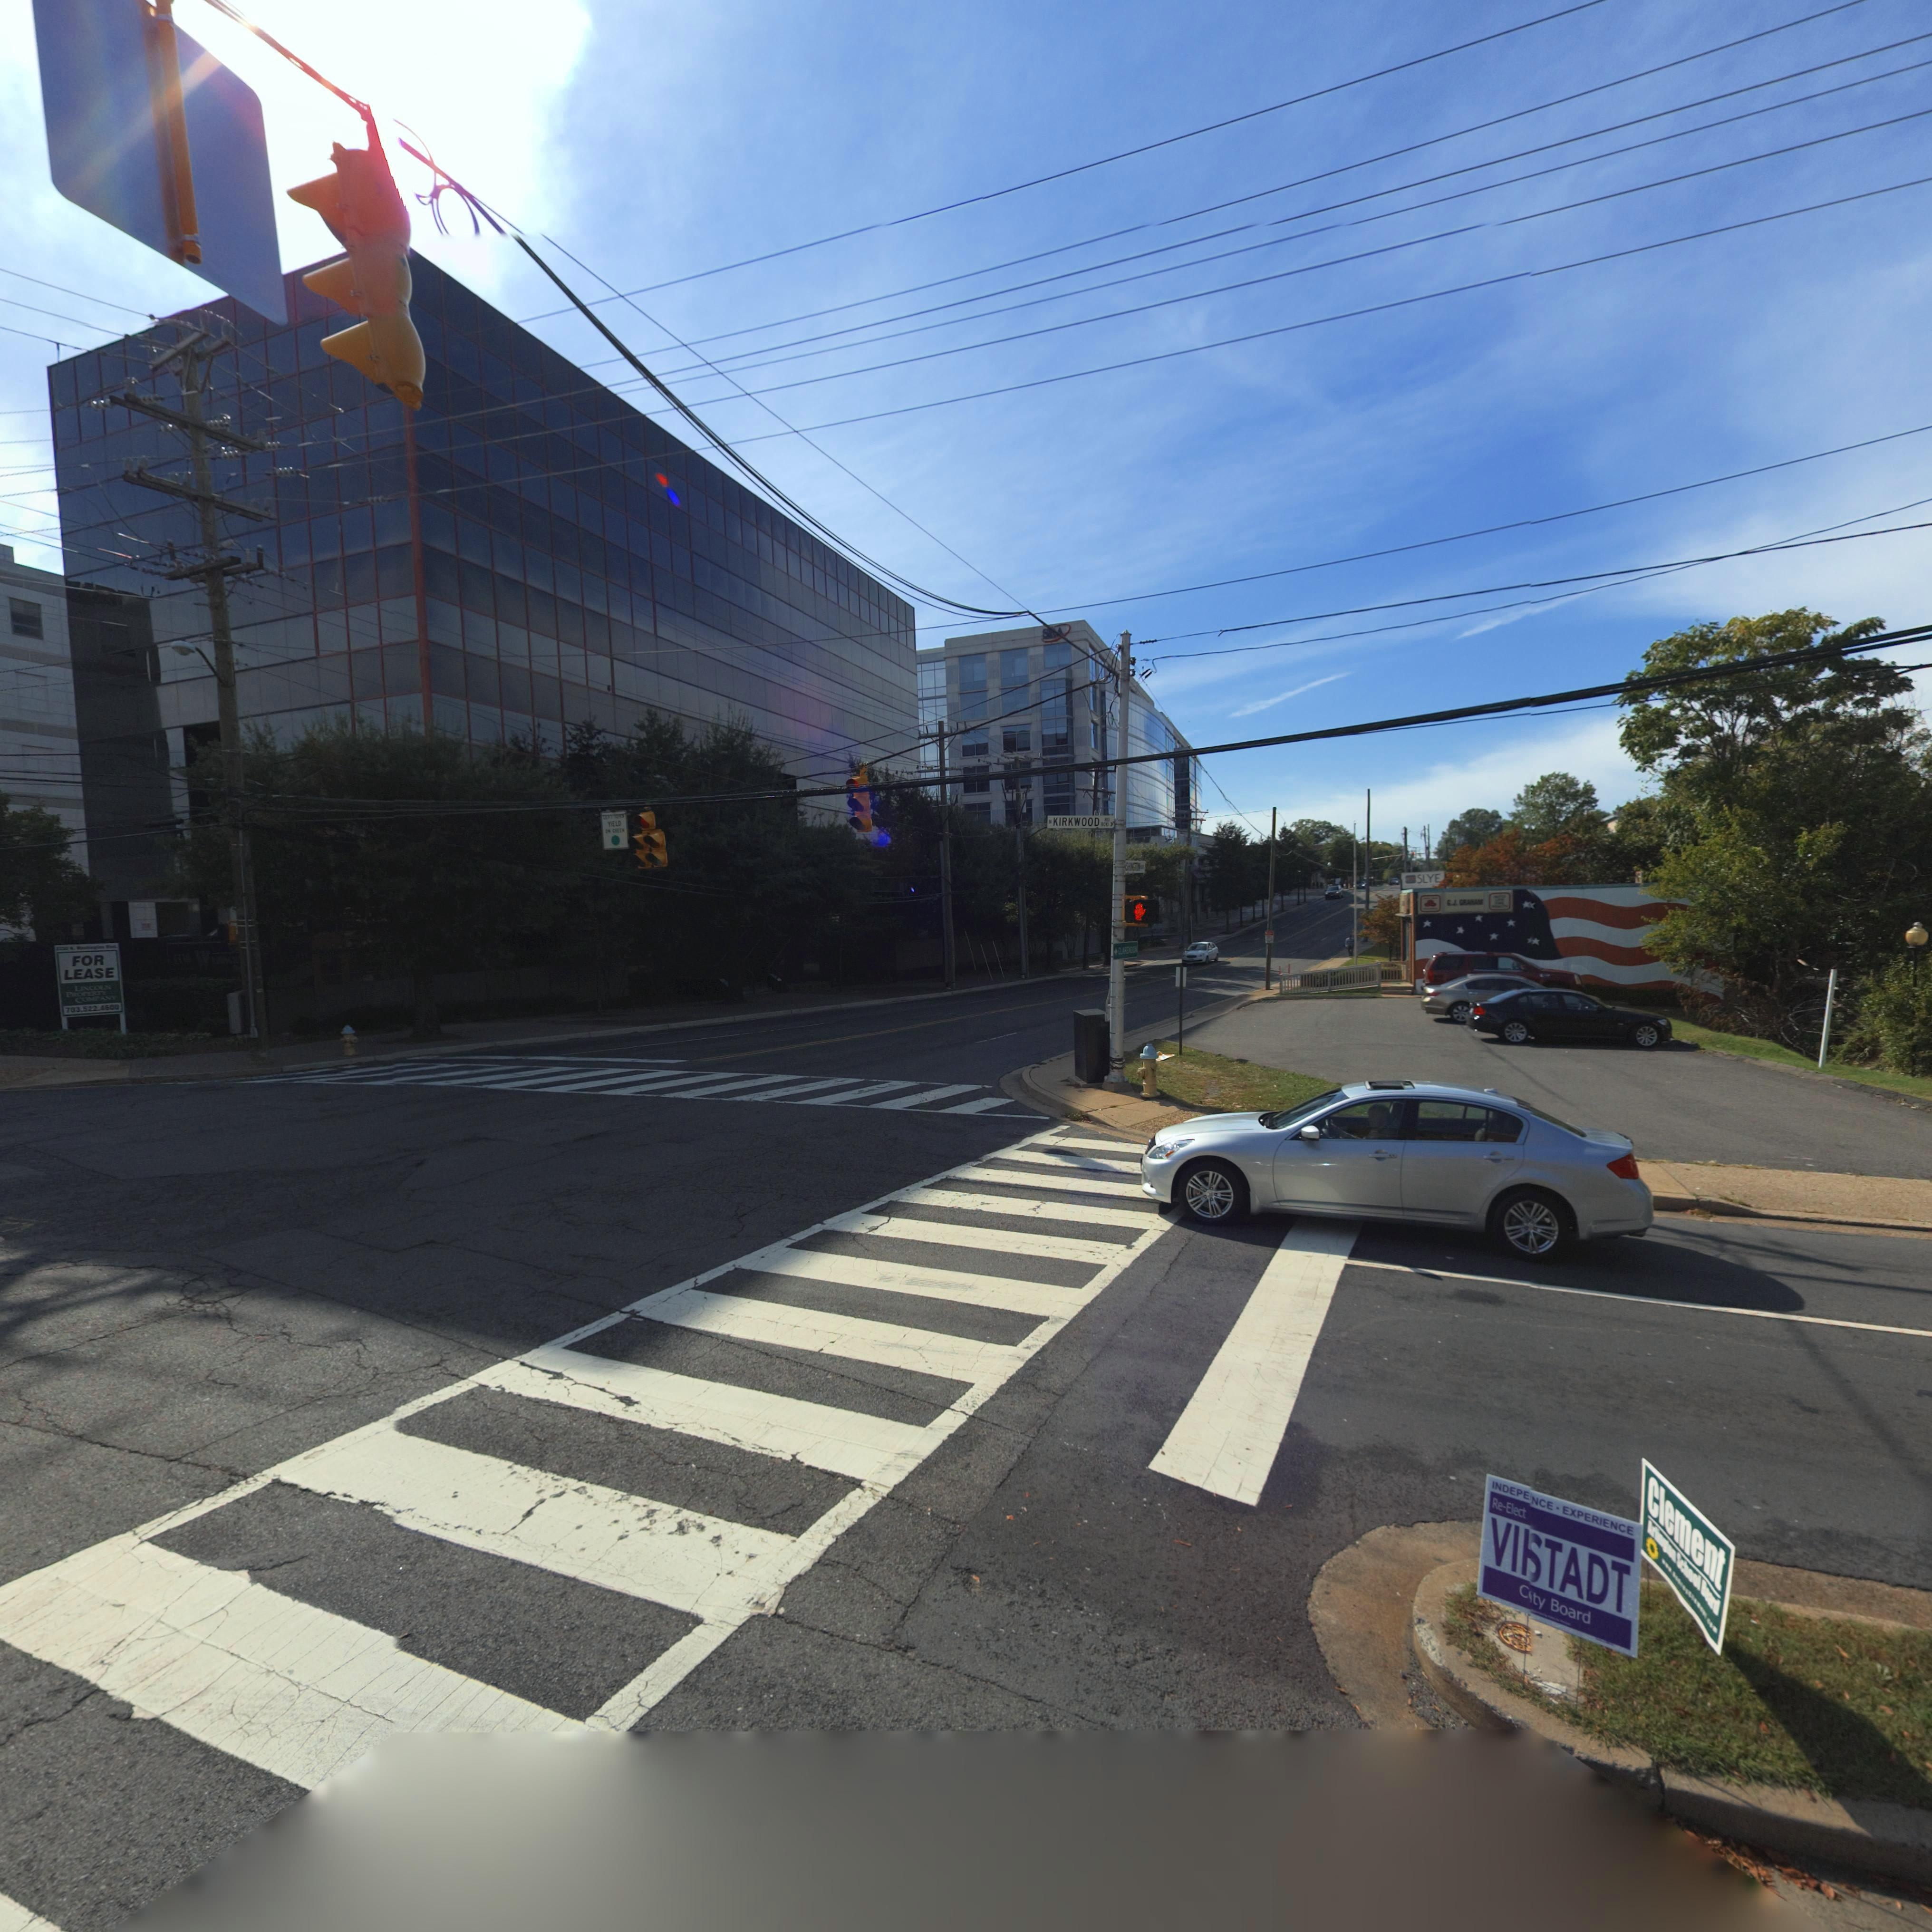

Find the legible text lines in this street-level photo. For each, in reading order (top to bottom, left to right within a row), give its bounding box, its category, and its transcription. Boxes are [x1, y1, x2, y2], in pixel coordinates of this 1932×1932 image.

[1043, 627, 1064, 639] BusinessName: S*A
[607, 820, 622, 827] None: YIELD
[1053, 817, 1111, 827] None: KIRKWOOD RD
[1100, 821, 1114, 827] None: 11s00->
[605, 828, 625, 834] None: ON GREEN
[1125, 862, 1141, 872] None: SHINGTON
[1417, 873, 1441, 884] None: SLYE
[1446, 899, 1484, 906] None: G.J. GRAHAM
[1117, 946, 1138, 956] None: *LARENDON
[71, 955, 105, 966] None: FOR
[172, 952, 191, 966] StreetNumber: 33*0
[193, 950, 212, 971] StreetName: W
[63, 967, 115, 981] None: LEASE
[74, 985, 112, 992] None: LINCOLN
[66, 990, 108, 998] None: PROPERTY
[74, 995, 117, 1004] None: COMPANY
[65, 1004, 119, 1014] None: 703.522.4600
[1491, 1497, 1527, 1520] None: Re-Elect
[1490, 1480, 1635, 1538] None: INDEPE*NCE * EXPERIENCE
[1646, 1471, 1728, 1594] None: Clement
[1490, 1516, 1633, 1615] None: HI*TADT
[1646, 1518, 1722, 1618] None: Arl****** School Board
[1518, 1584, 1592, 1627] None: C*ty Board